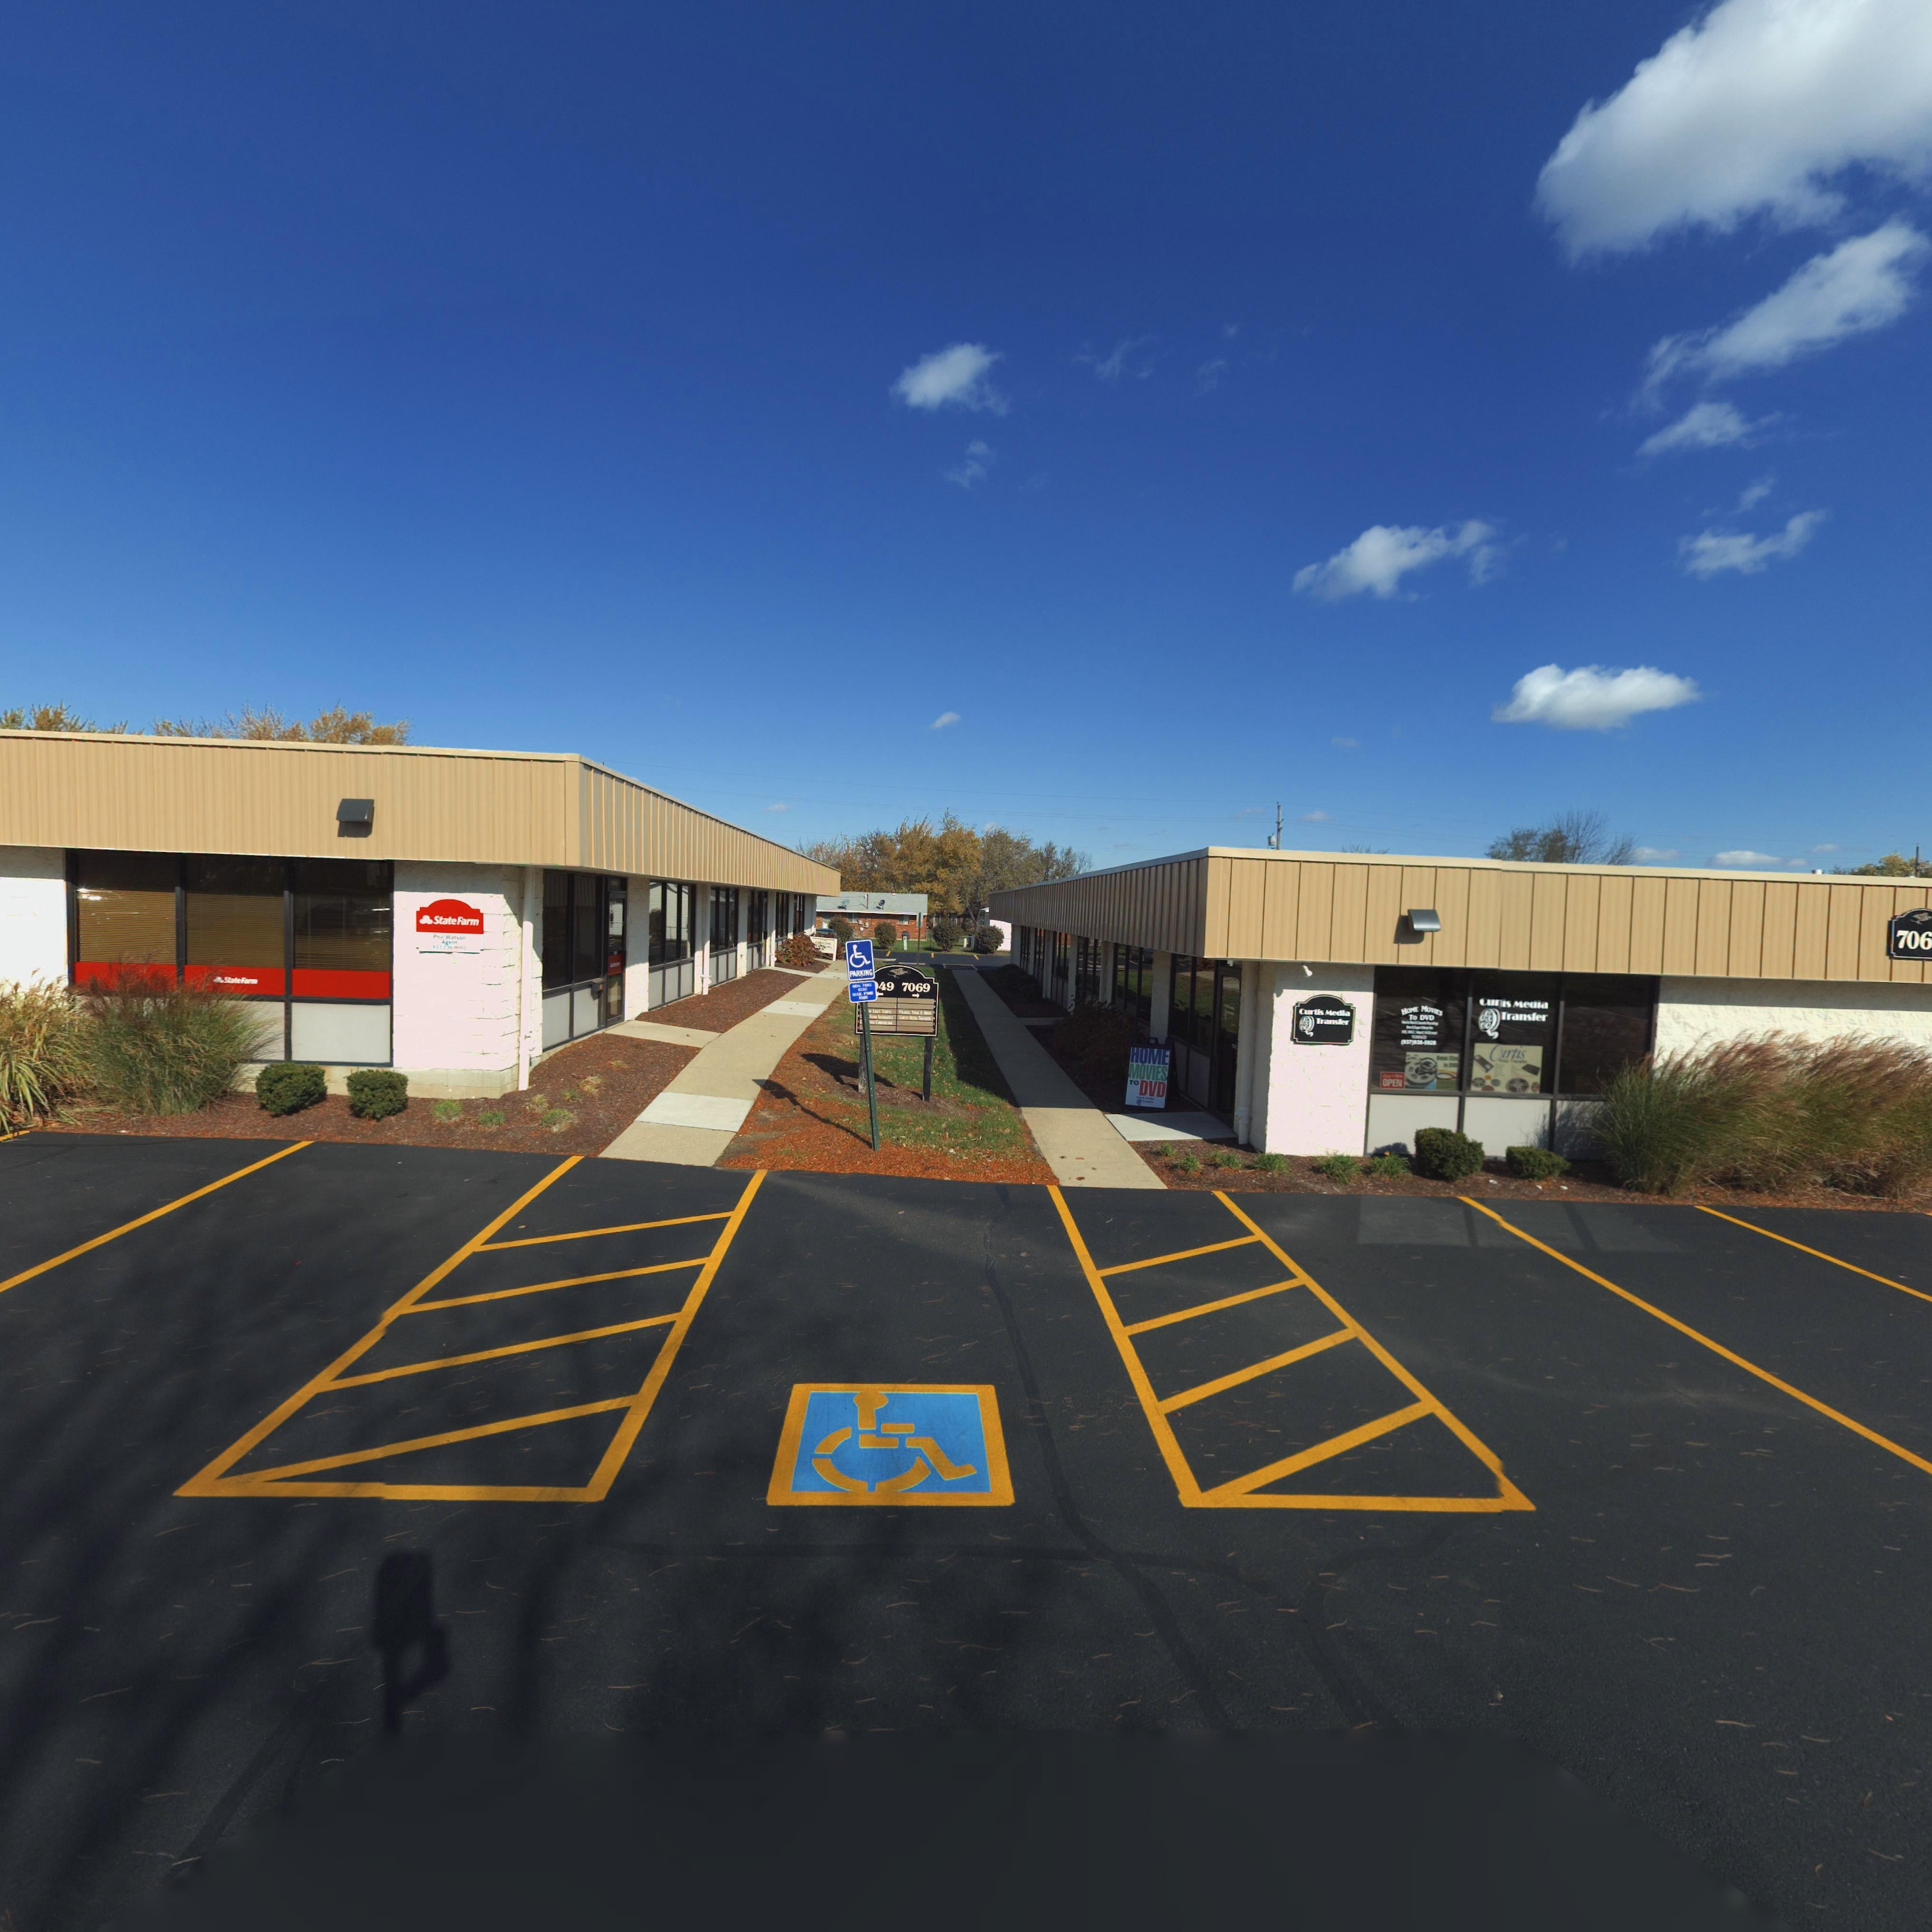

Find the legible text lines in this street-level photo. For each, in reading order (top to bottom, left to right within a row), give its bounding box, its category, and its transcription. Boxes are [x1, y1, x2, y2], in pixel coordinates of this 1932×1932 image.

[1895, 928, 1932, 951] StreetNumber: 706
[878, 980, 896, 992] StreetNumber: 49
[901, 981, 932, 994] StreetNumber: 7069